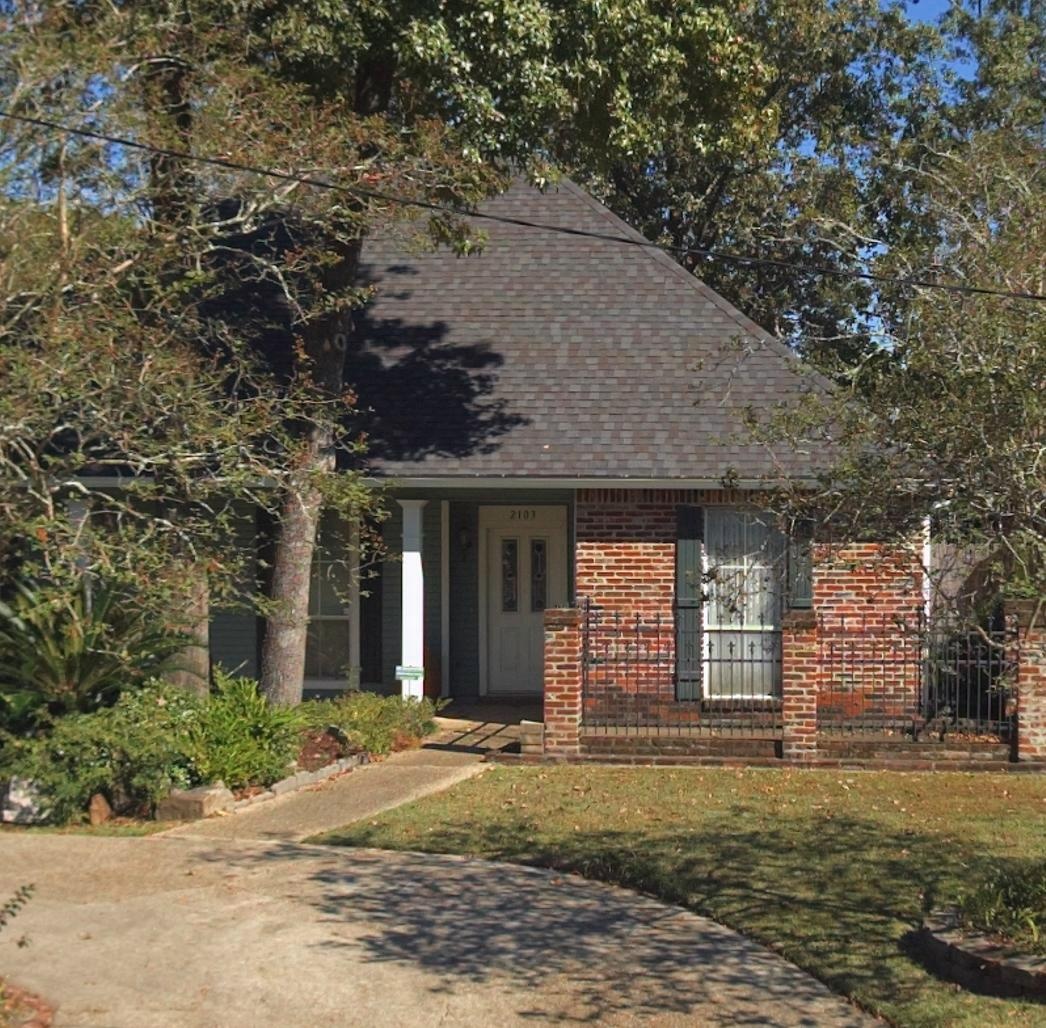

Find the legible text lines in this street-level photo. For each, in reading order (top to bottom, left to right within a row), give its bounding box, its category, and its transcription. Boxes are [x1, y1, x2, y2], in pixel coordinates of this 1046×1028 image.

[509, 509, 537, 521] StreetNumber: 2103